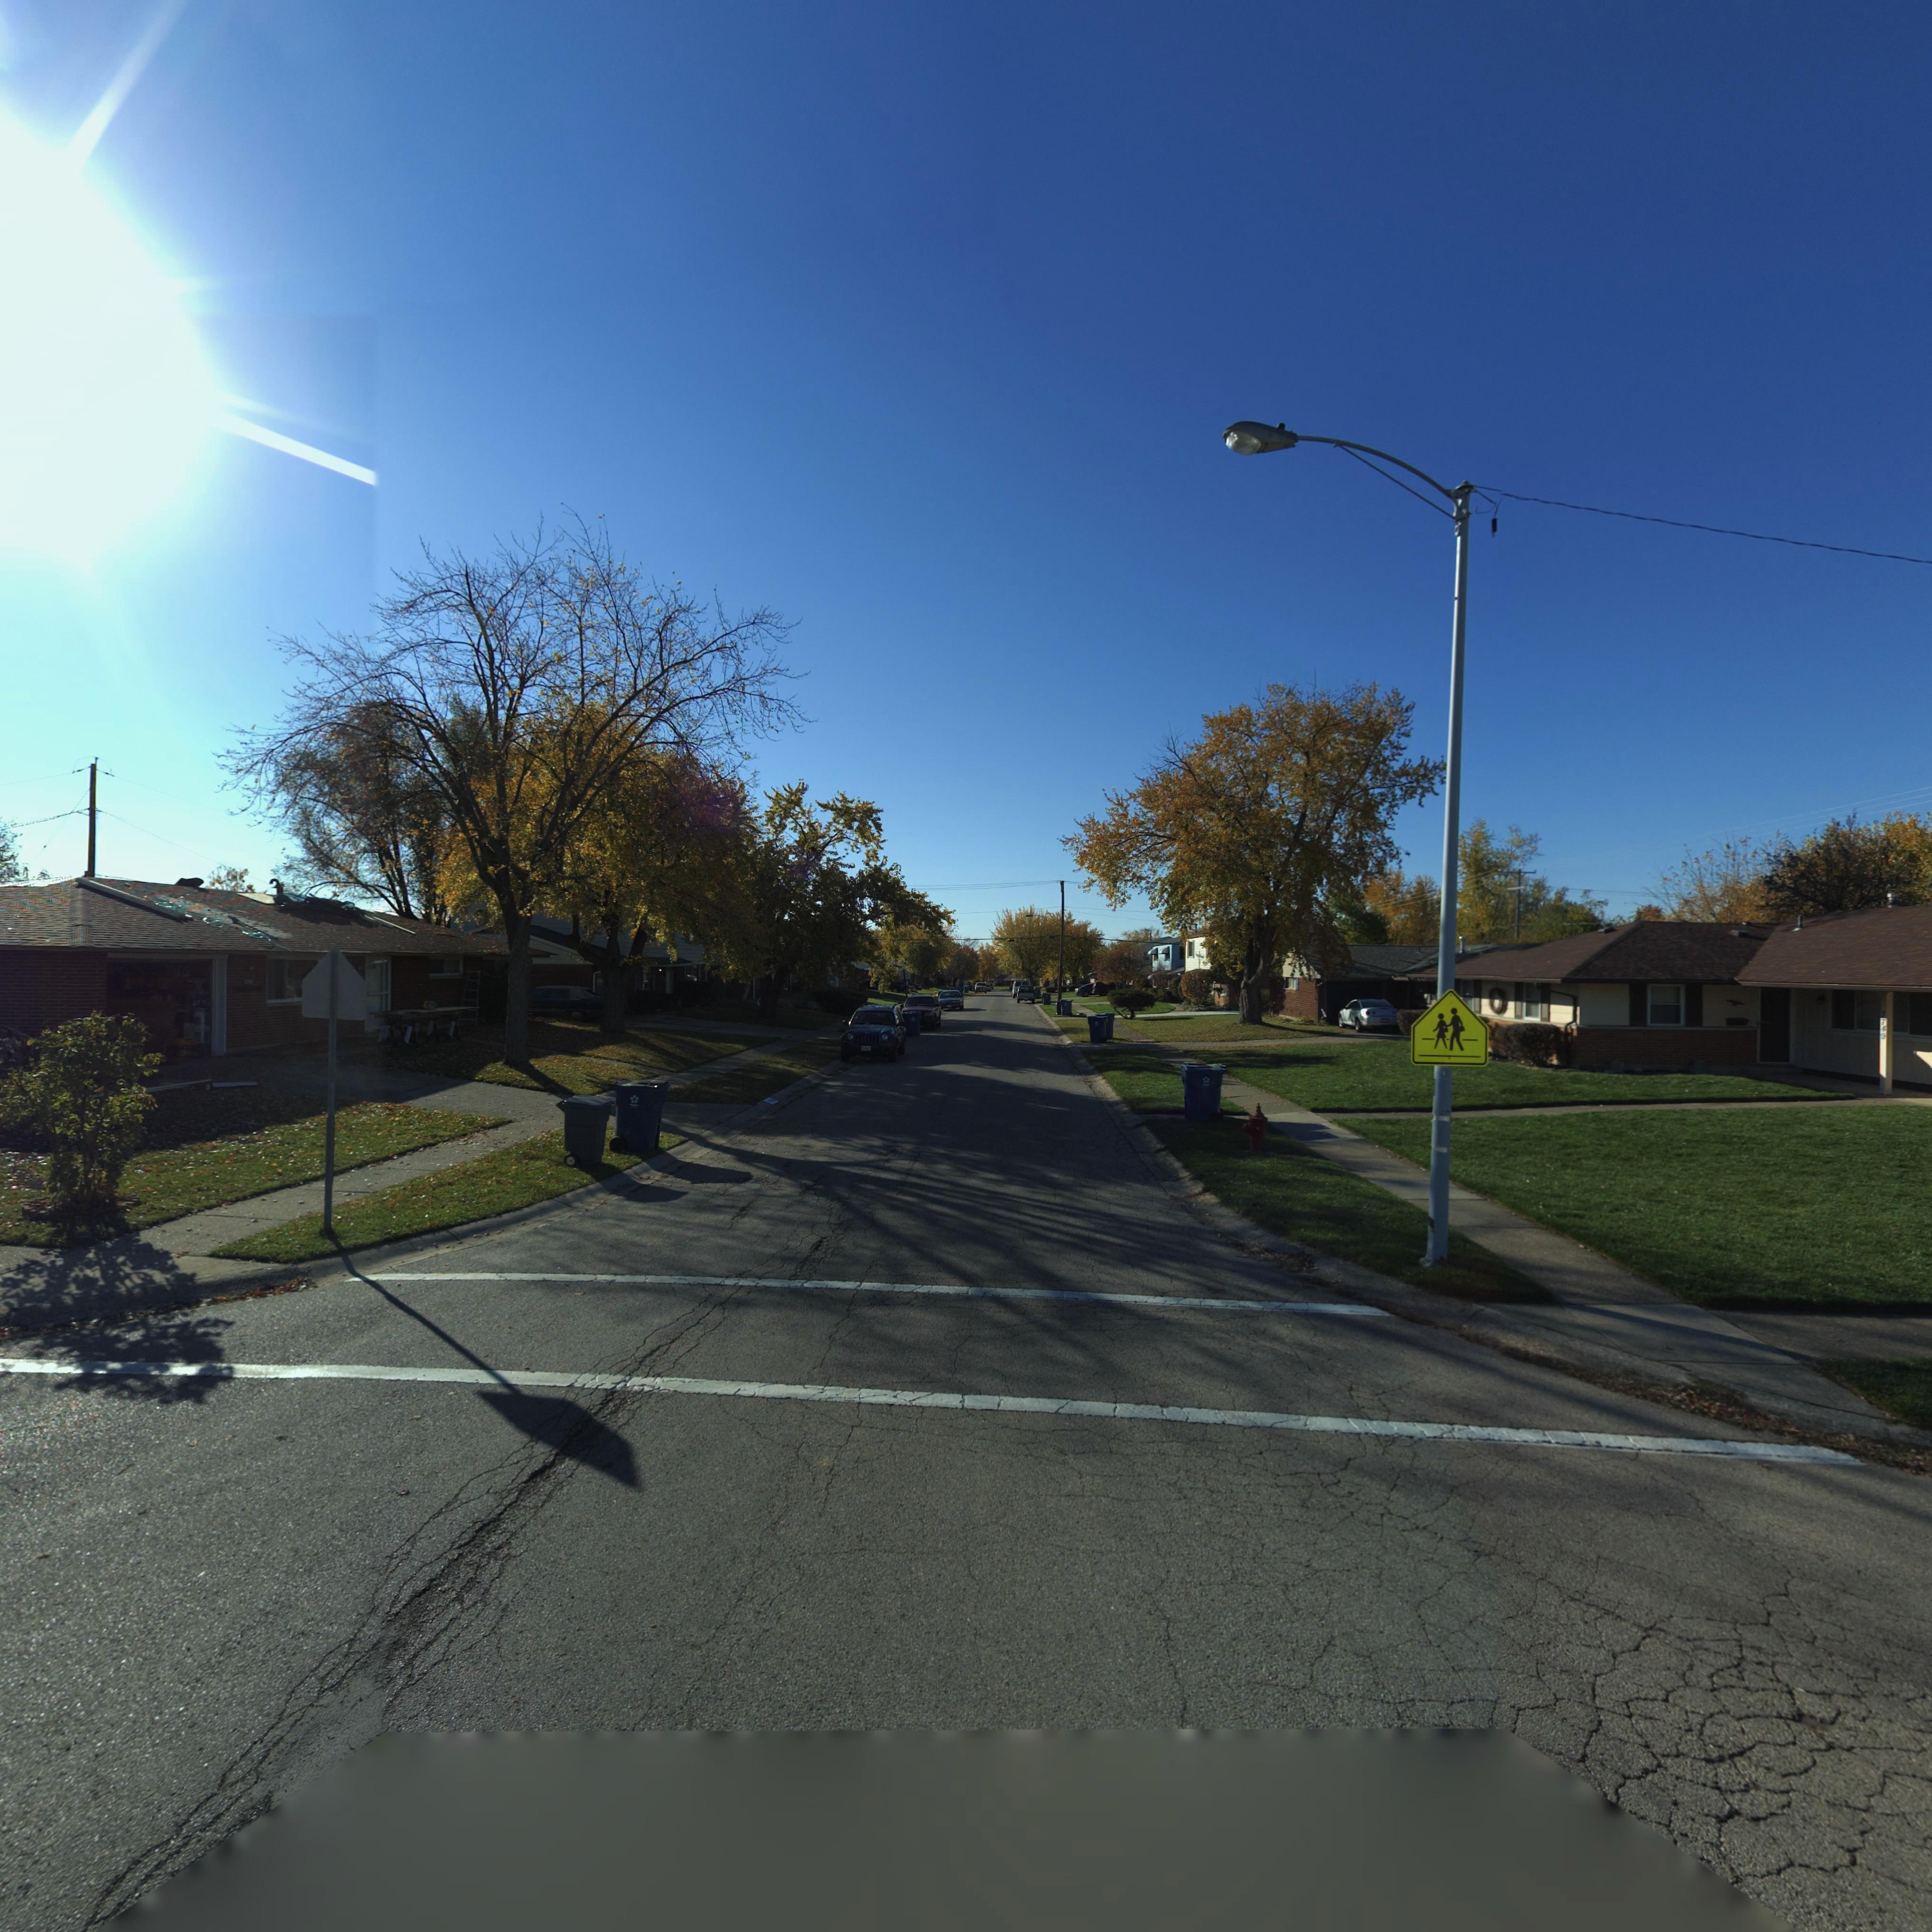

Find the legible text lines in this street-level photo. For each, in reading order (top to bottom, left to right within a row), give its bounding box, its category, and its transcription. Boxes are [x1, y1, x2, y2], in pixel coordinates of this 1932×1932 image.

[244, 979, 253, 985] StreetNumber: 77**
[1879, 1010, 1886, 1040] StreetNumber: 77*9